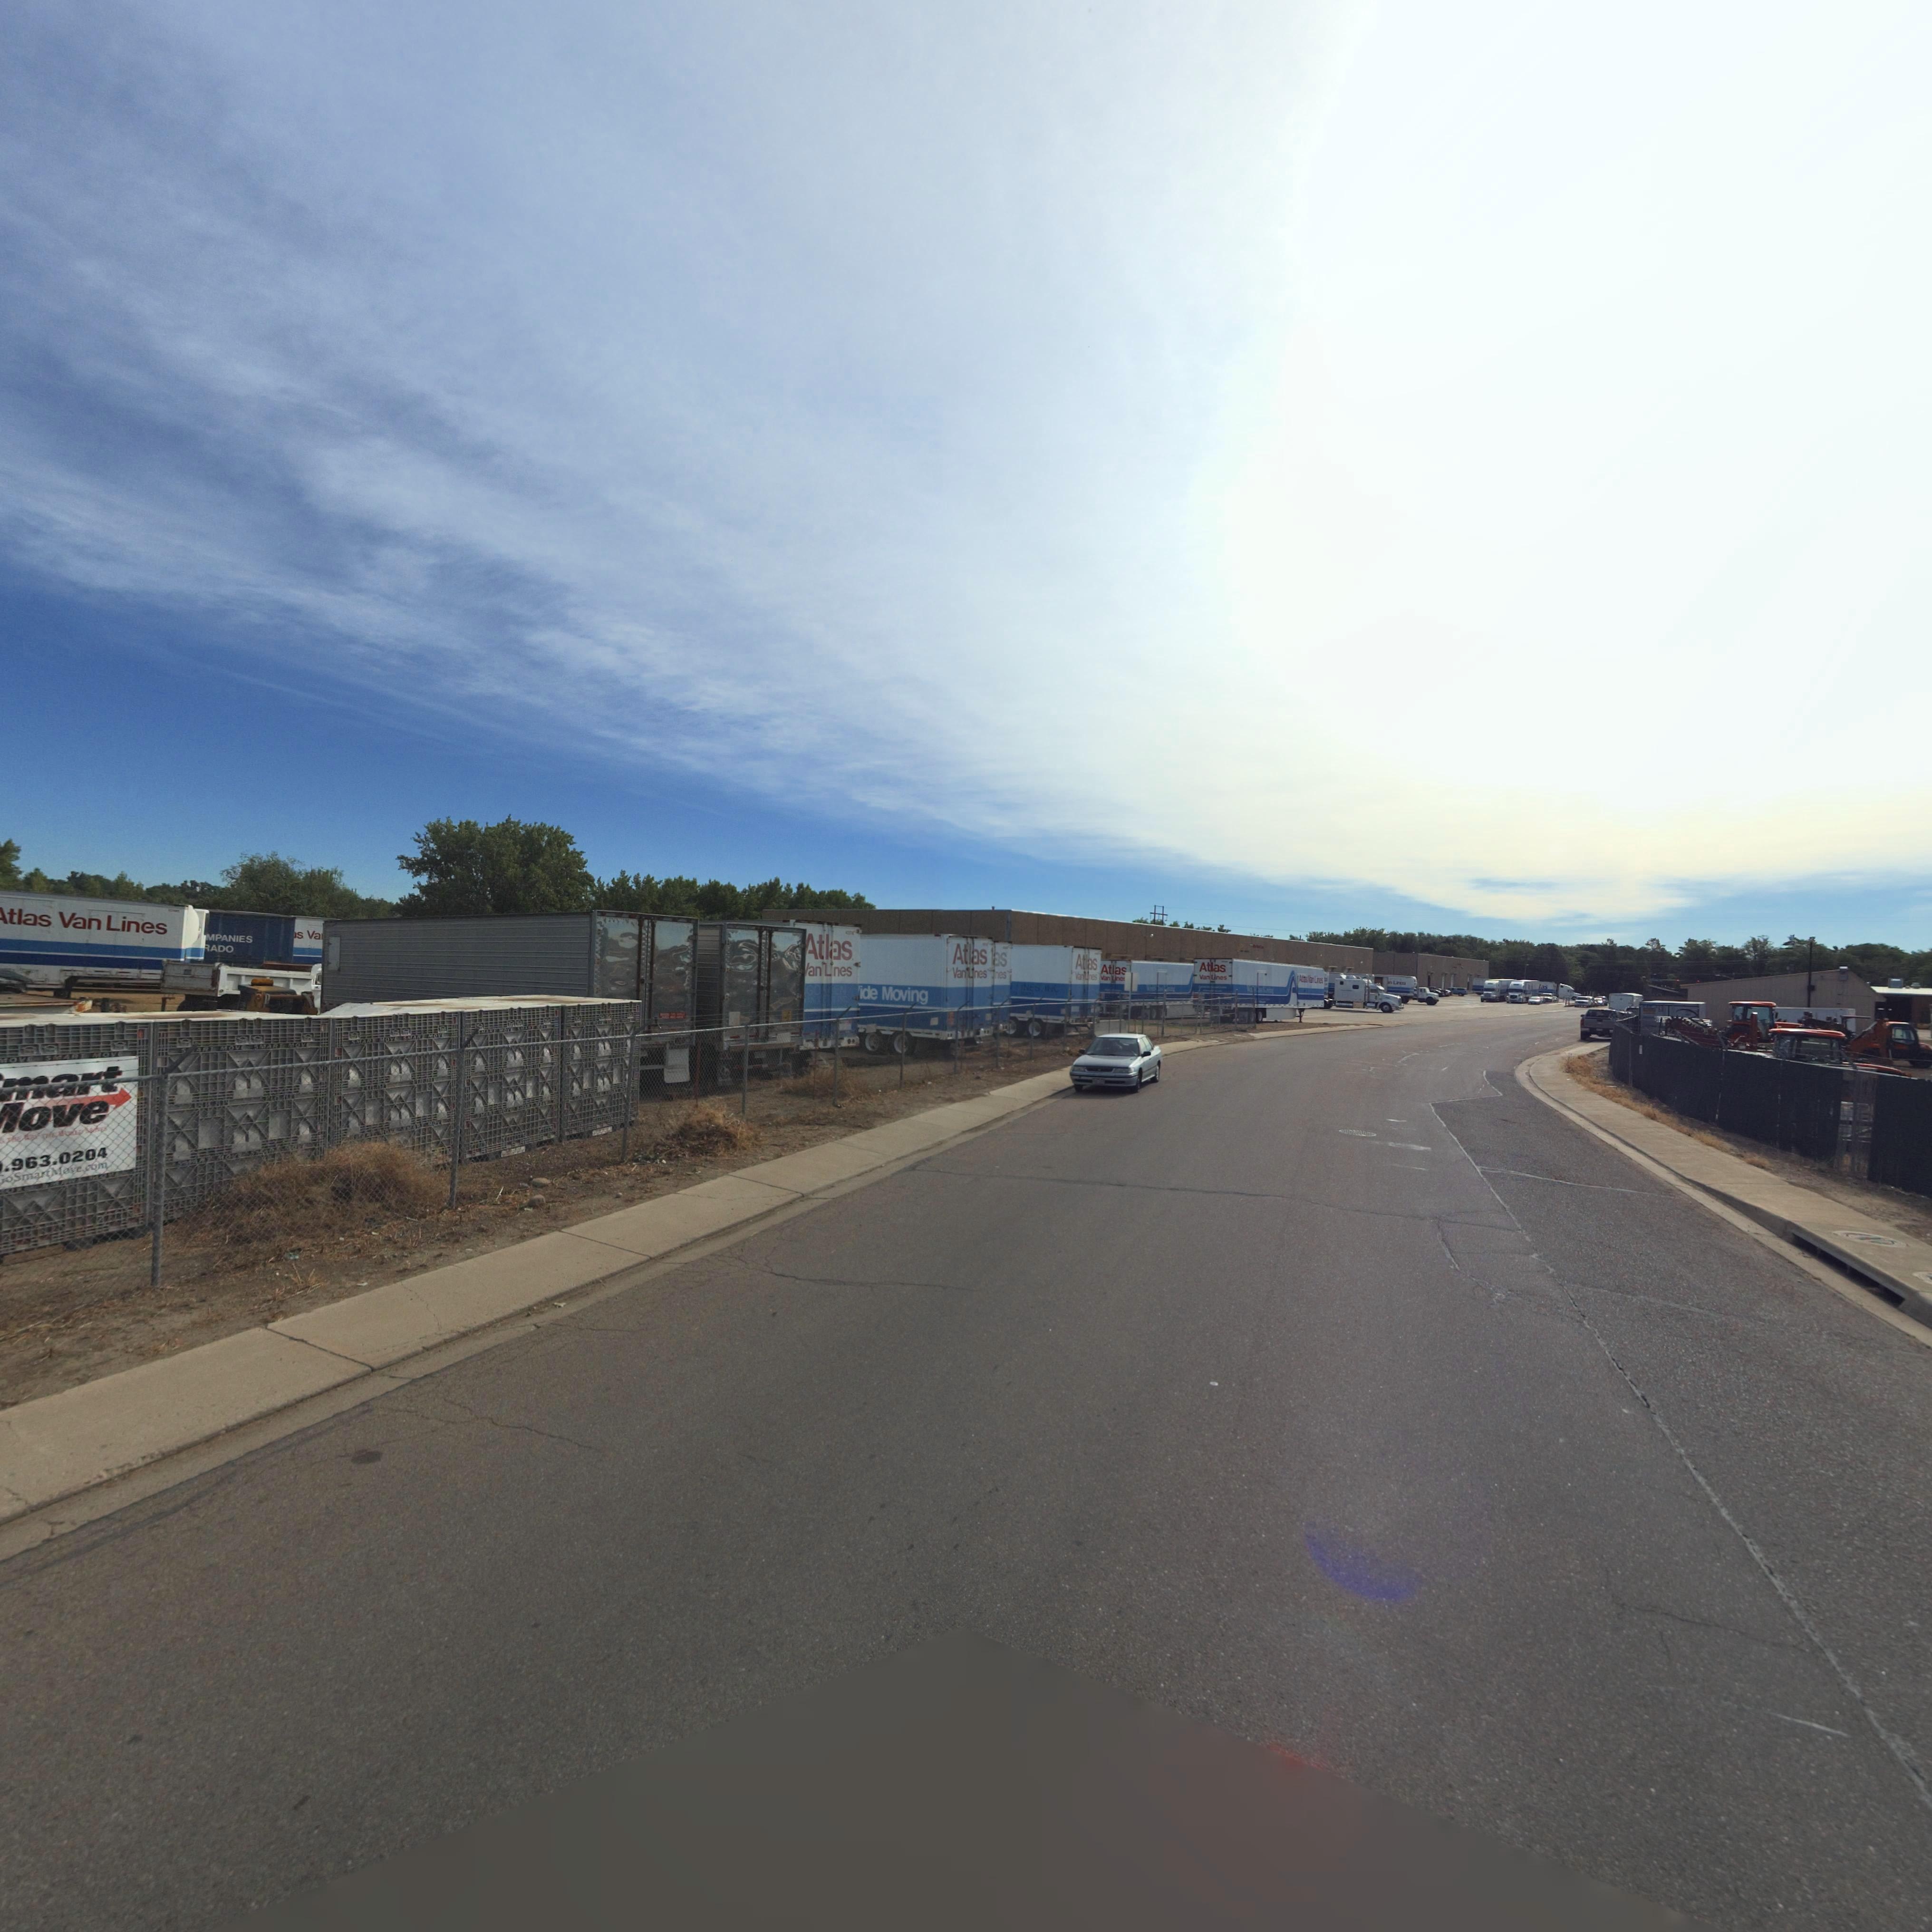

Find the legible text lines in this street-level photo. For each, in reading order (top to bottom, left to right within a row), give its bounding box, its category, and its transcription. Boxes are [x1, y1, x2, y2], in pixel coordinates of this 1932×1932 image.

[0, 1064, 123, 1104] BusinessName: mart
[17, 1098, 110, 1133] BusinessName: ove